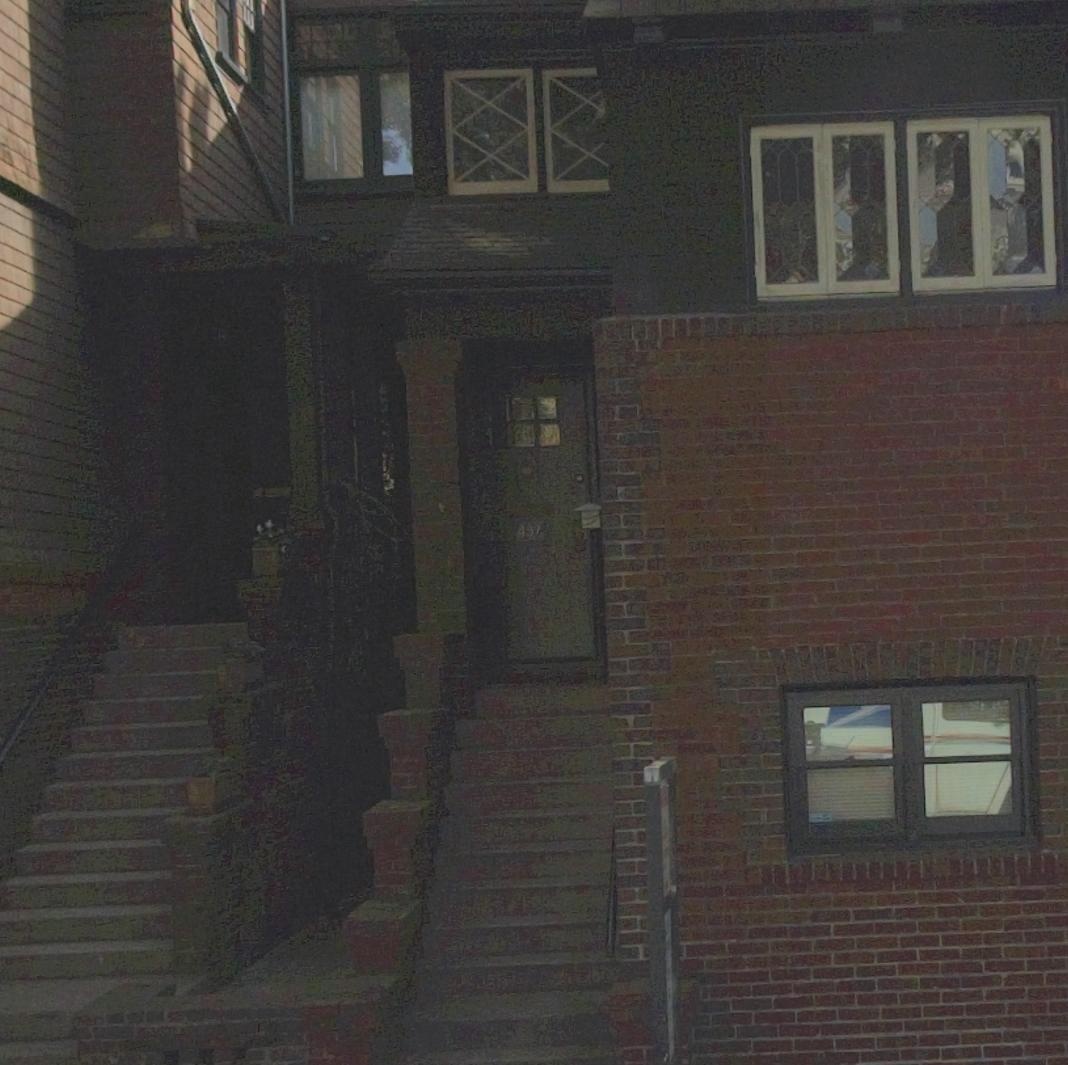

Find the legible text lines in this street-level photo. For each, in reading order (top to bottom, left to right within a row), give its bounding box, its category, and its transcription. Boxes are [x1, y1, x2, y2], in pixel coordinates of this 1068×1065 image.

[517, 523, 542, 537] StreetNumber: 437